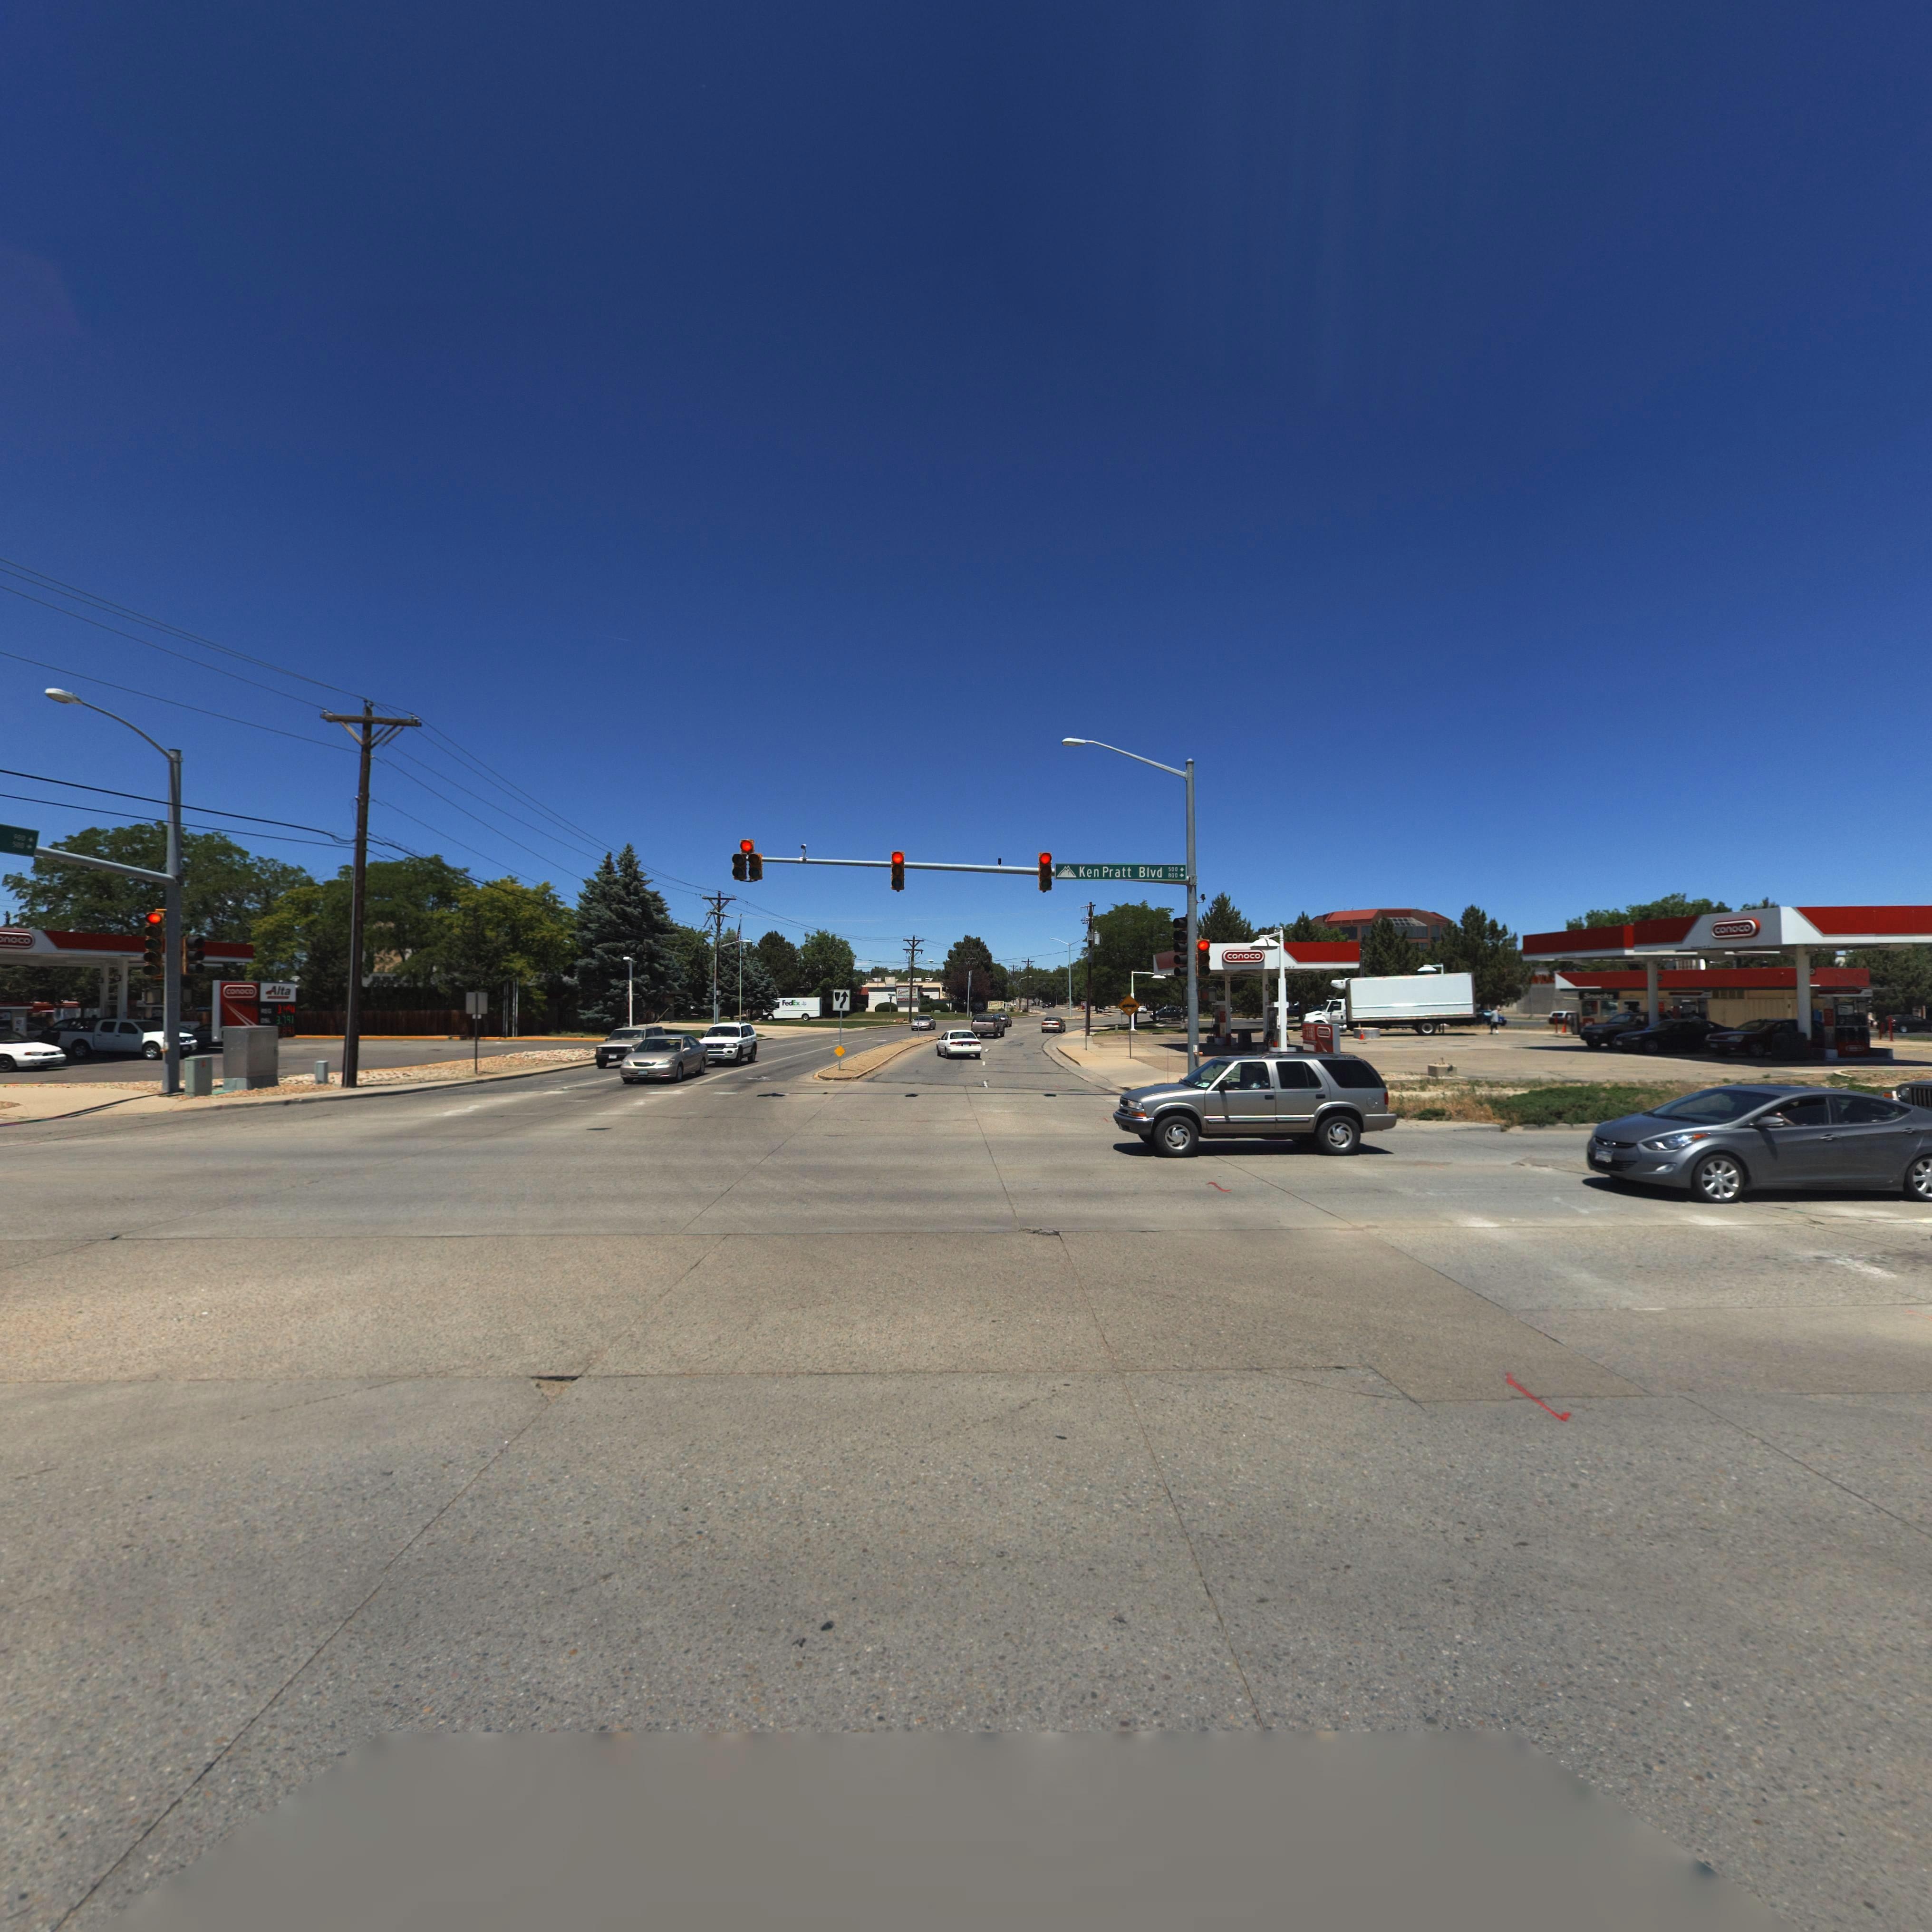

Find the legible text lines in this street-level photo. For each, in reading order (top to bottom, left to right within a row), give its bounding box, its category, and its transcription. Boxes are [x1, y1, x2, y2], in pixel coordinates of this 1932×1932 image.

[11, 840, 33, 850] StreetNumberRange: 5**->
[1078, 865, 1162, 878] BusinessName: Ken Pratt Blvd
[1168, 866, 1178, 871] StreetNumberRange: 500
[1168, 872, 1185, 878] StreetNumberRange: 800->
[1714, 924, 1750, 934] BusinessName: conoco
[3, 936, 31, 944] BusinessName: noco
[1227, 953, 1261, 959] BusinessName: conoco
[226, 988, 254, 995] BusinessName: conoco
[265, 985, 291, 995] BusinessName: Alta